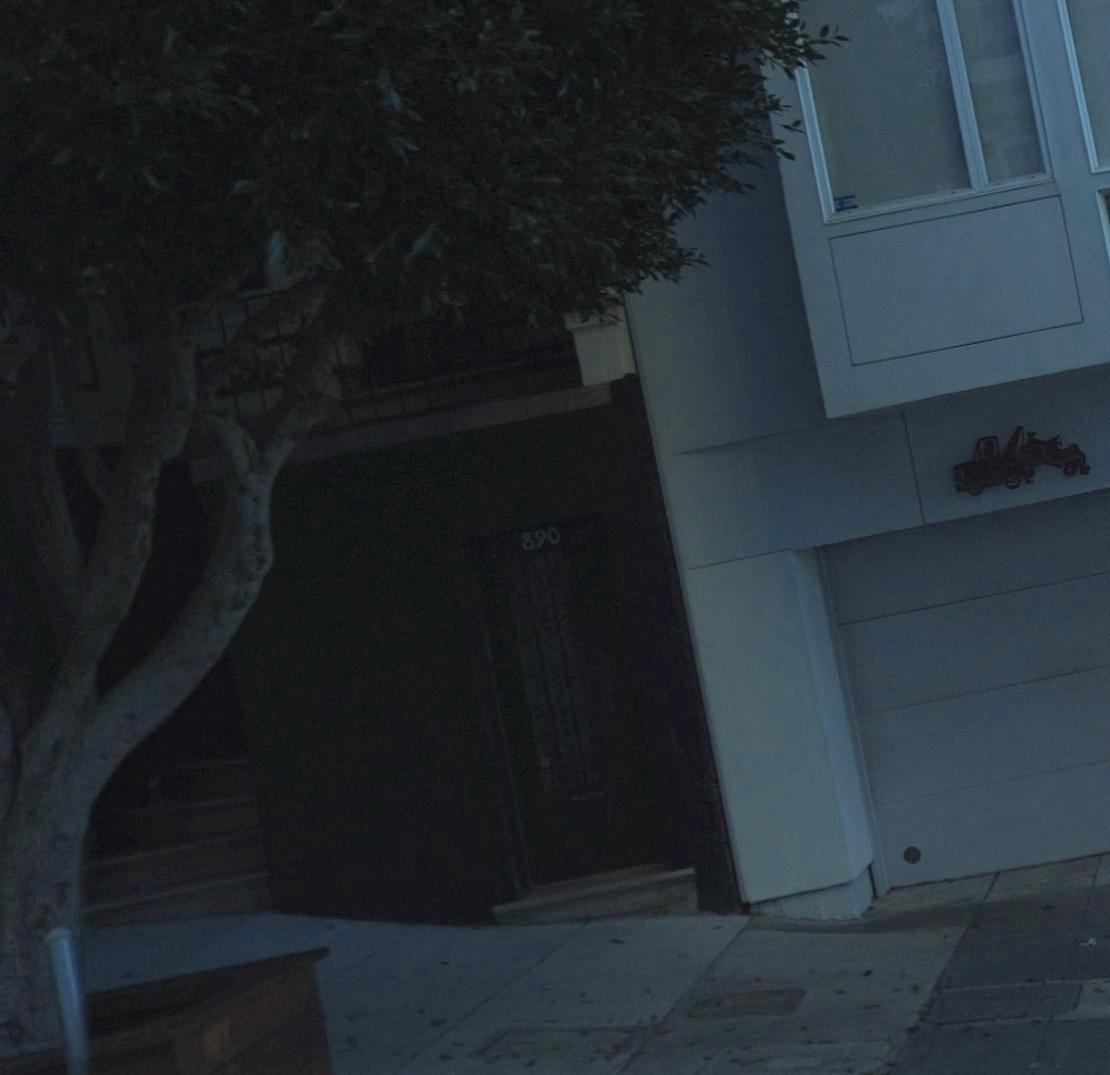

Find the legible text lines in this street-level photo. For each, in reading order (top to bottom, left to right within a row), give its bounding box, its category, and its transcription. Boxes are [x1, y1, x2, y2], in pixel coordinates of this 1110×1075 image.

[518, 524, 563, 553] StreetNumber: 890